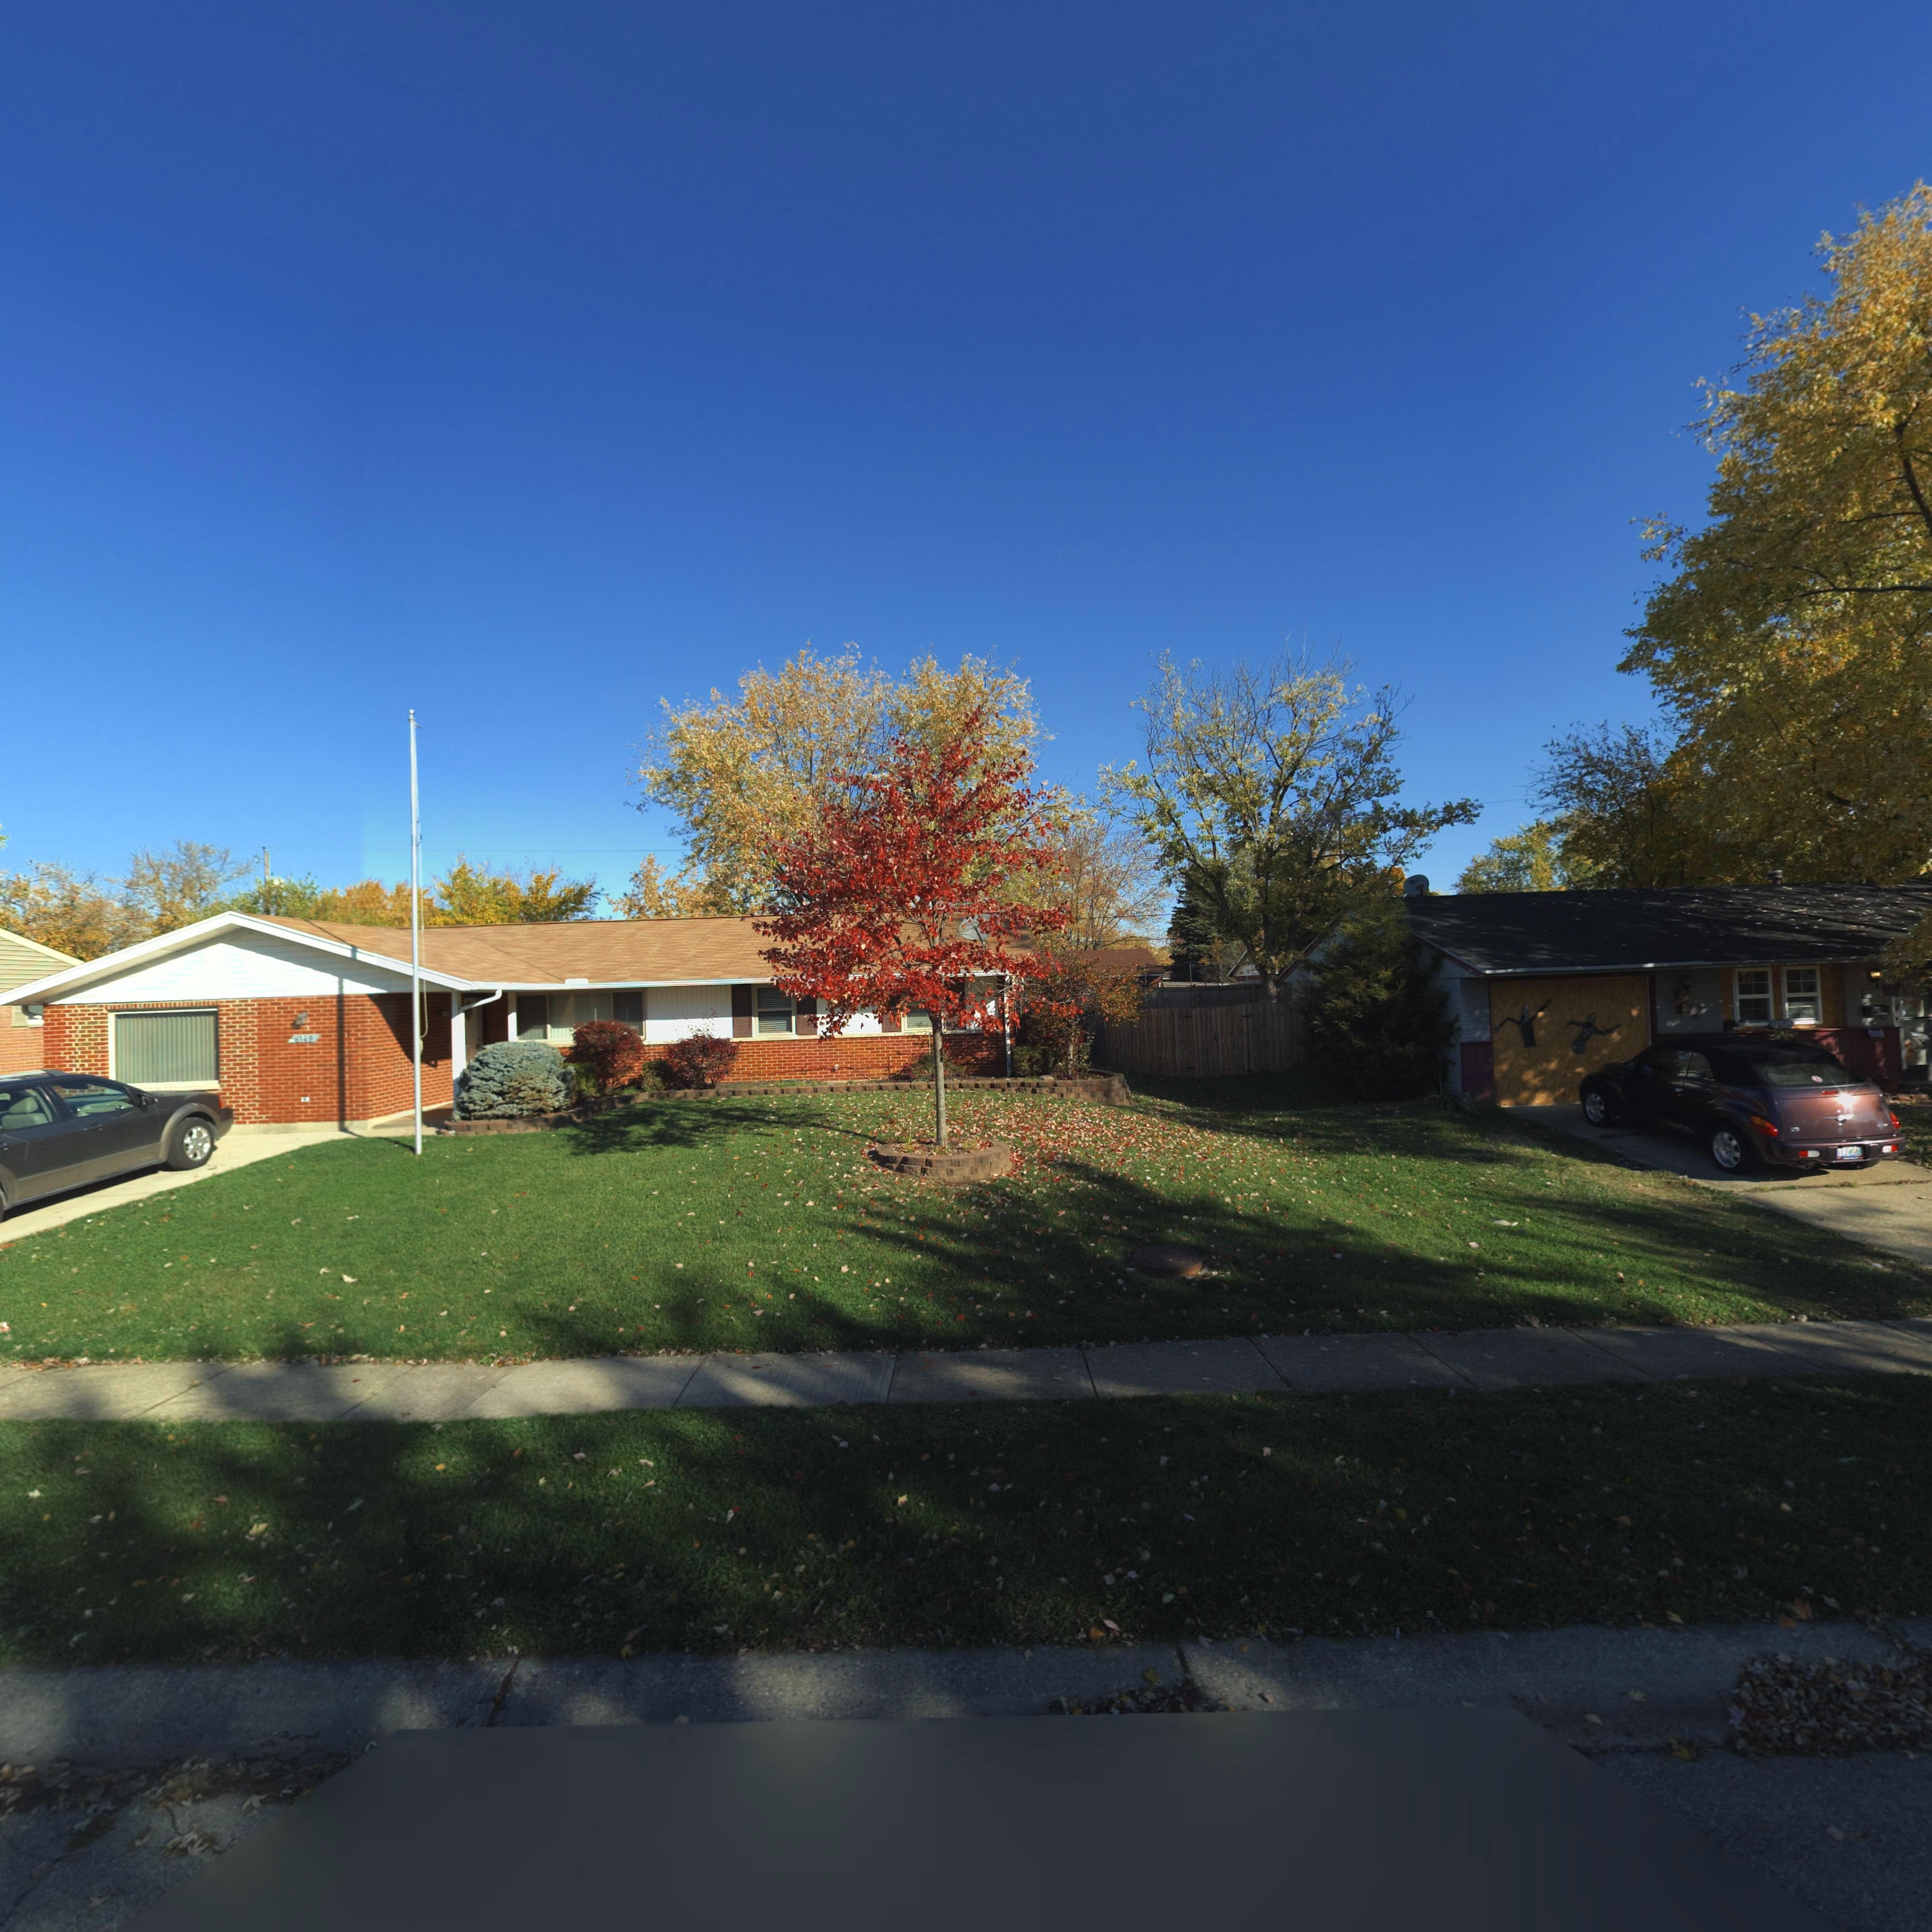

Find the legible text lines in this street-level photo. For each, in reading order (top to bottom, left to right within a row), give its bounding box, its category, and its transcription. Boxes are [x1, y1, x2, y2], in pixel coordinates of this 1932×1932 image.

[293, 1034, 314, 1043] StreetNumber: 6149